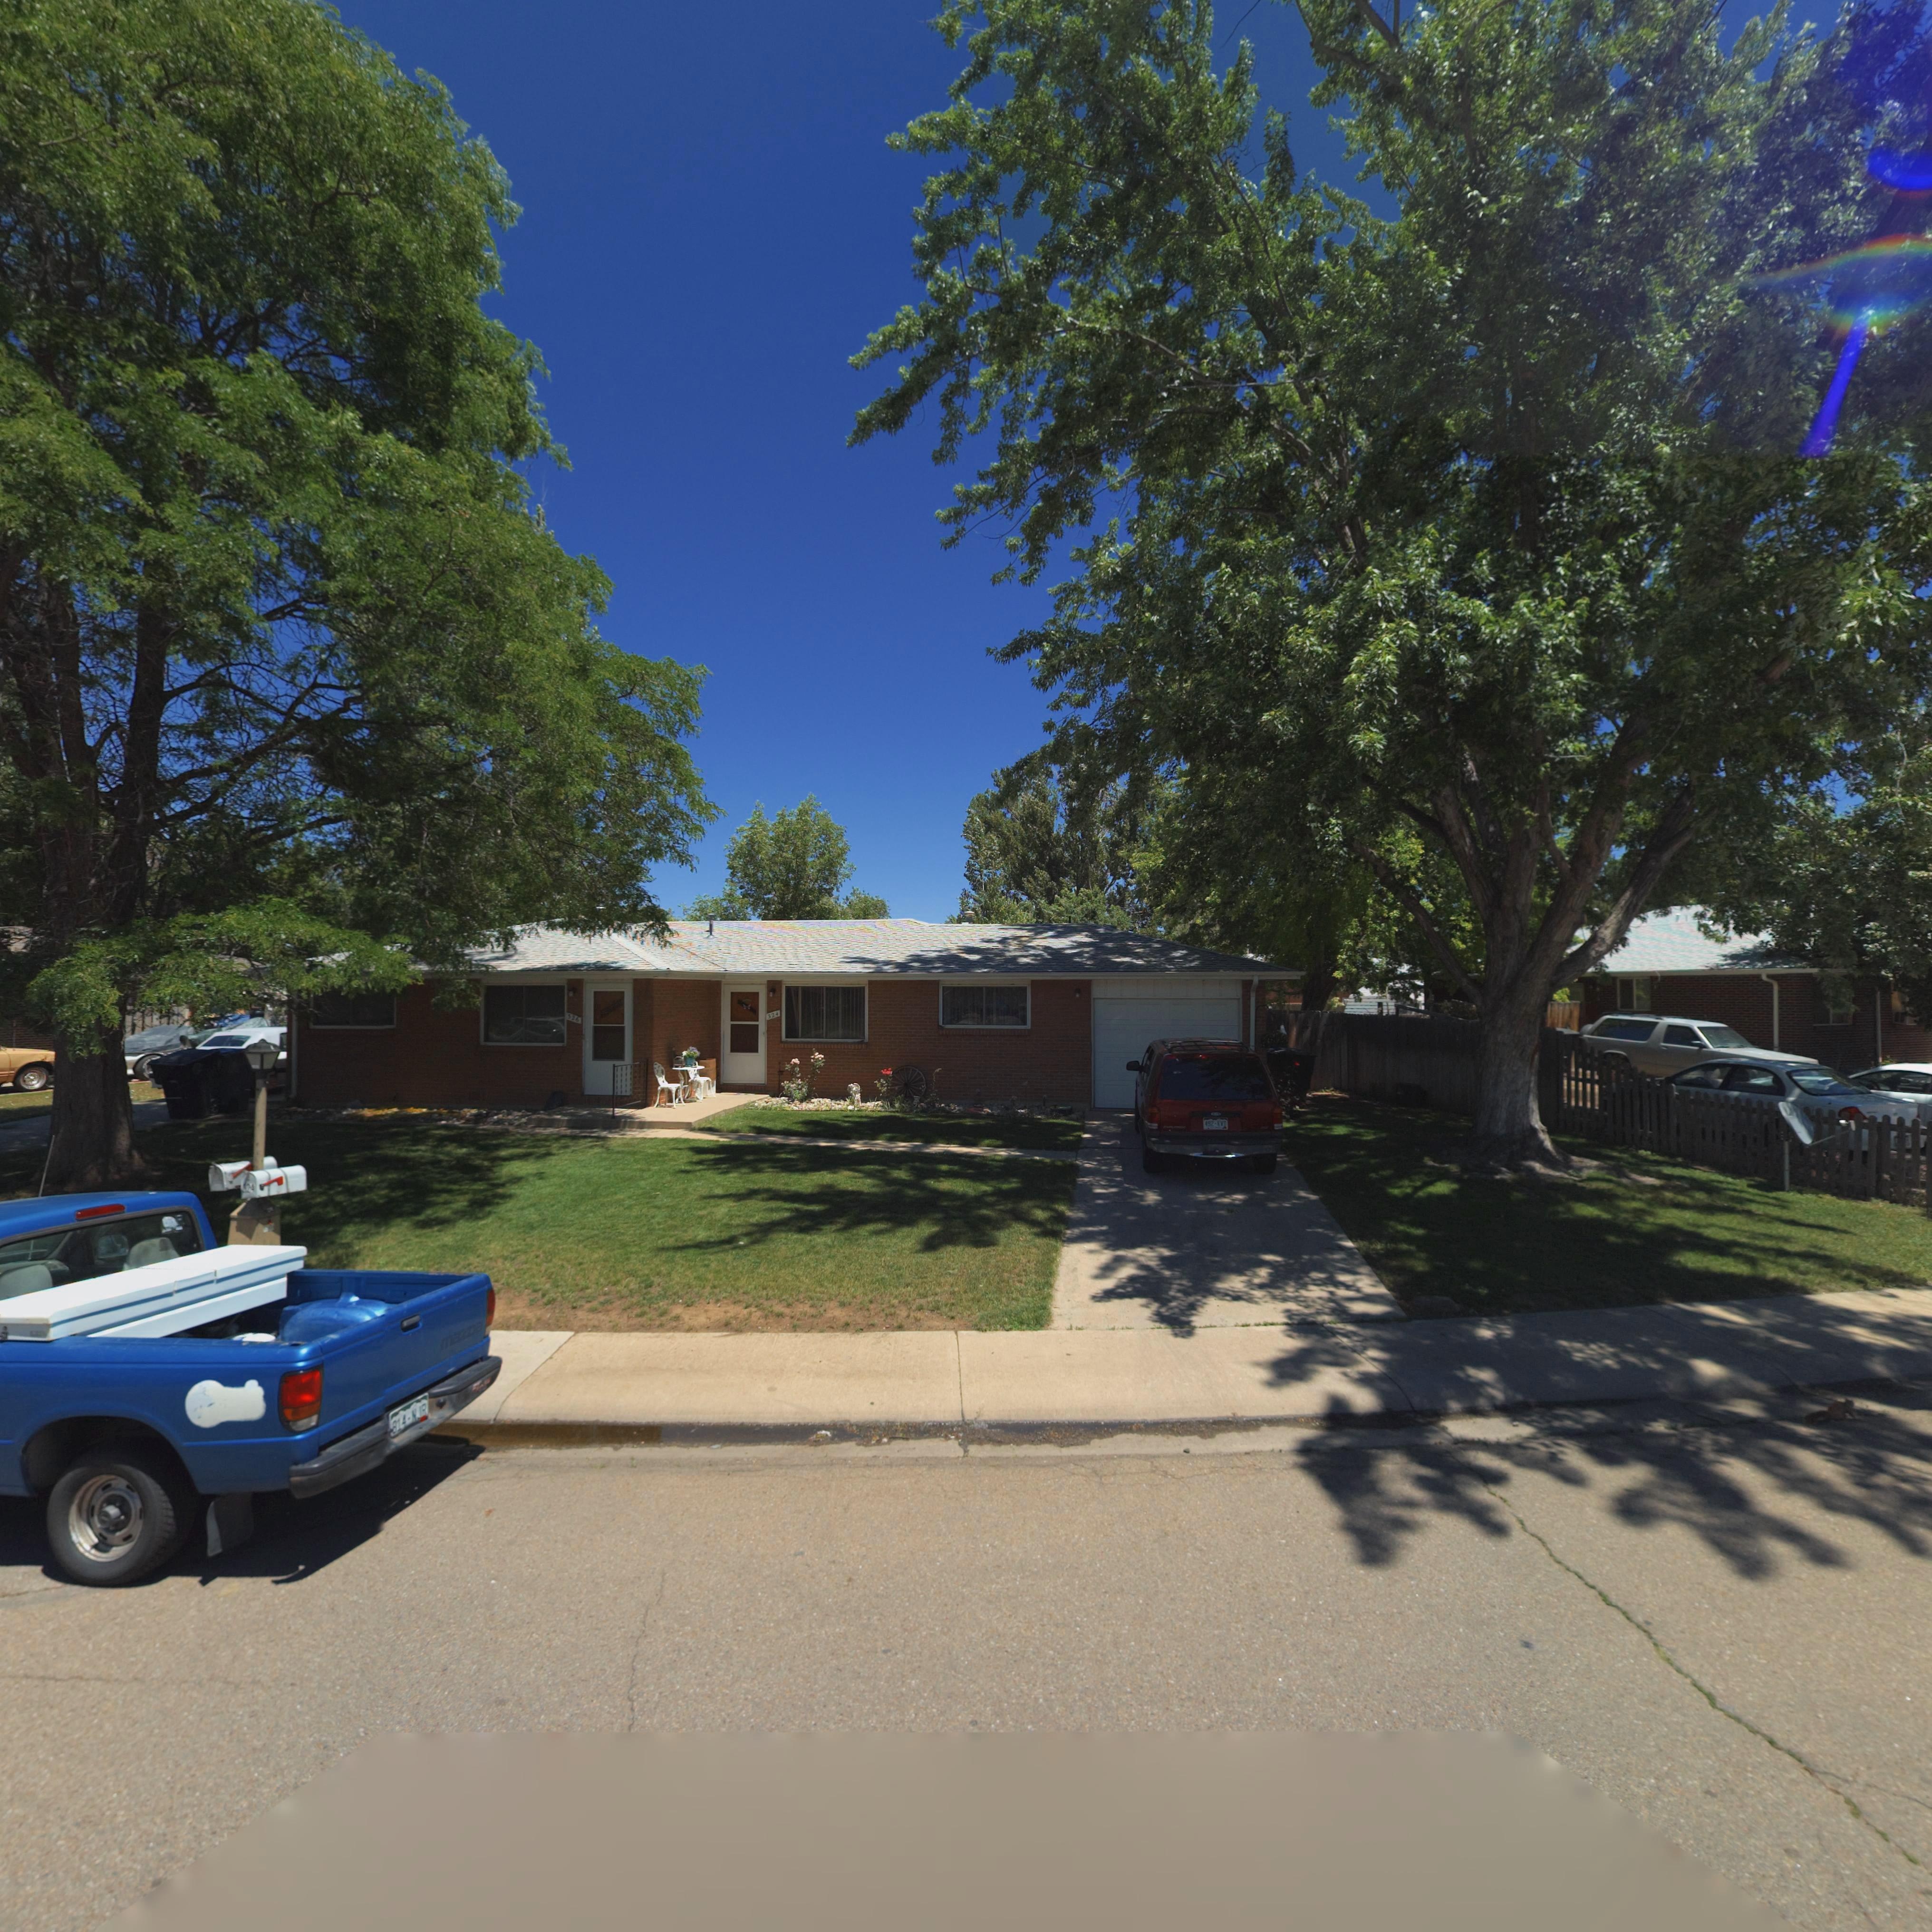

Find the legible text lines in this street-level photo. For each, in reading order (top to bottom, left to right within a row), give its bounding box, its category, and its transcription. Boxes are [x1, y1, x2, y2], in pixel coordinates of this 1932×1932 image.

[567, 1013, 580, 1023] StreetNumber: 326
[767, 1011, 778, 1019] StreetNumber: 324
[241, 1183, 255, 1193] StreetNumber: *24